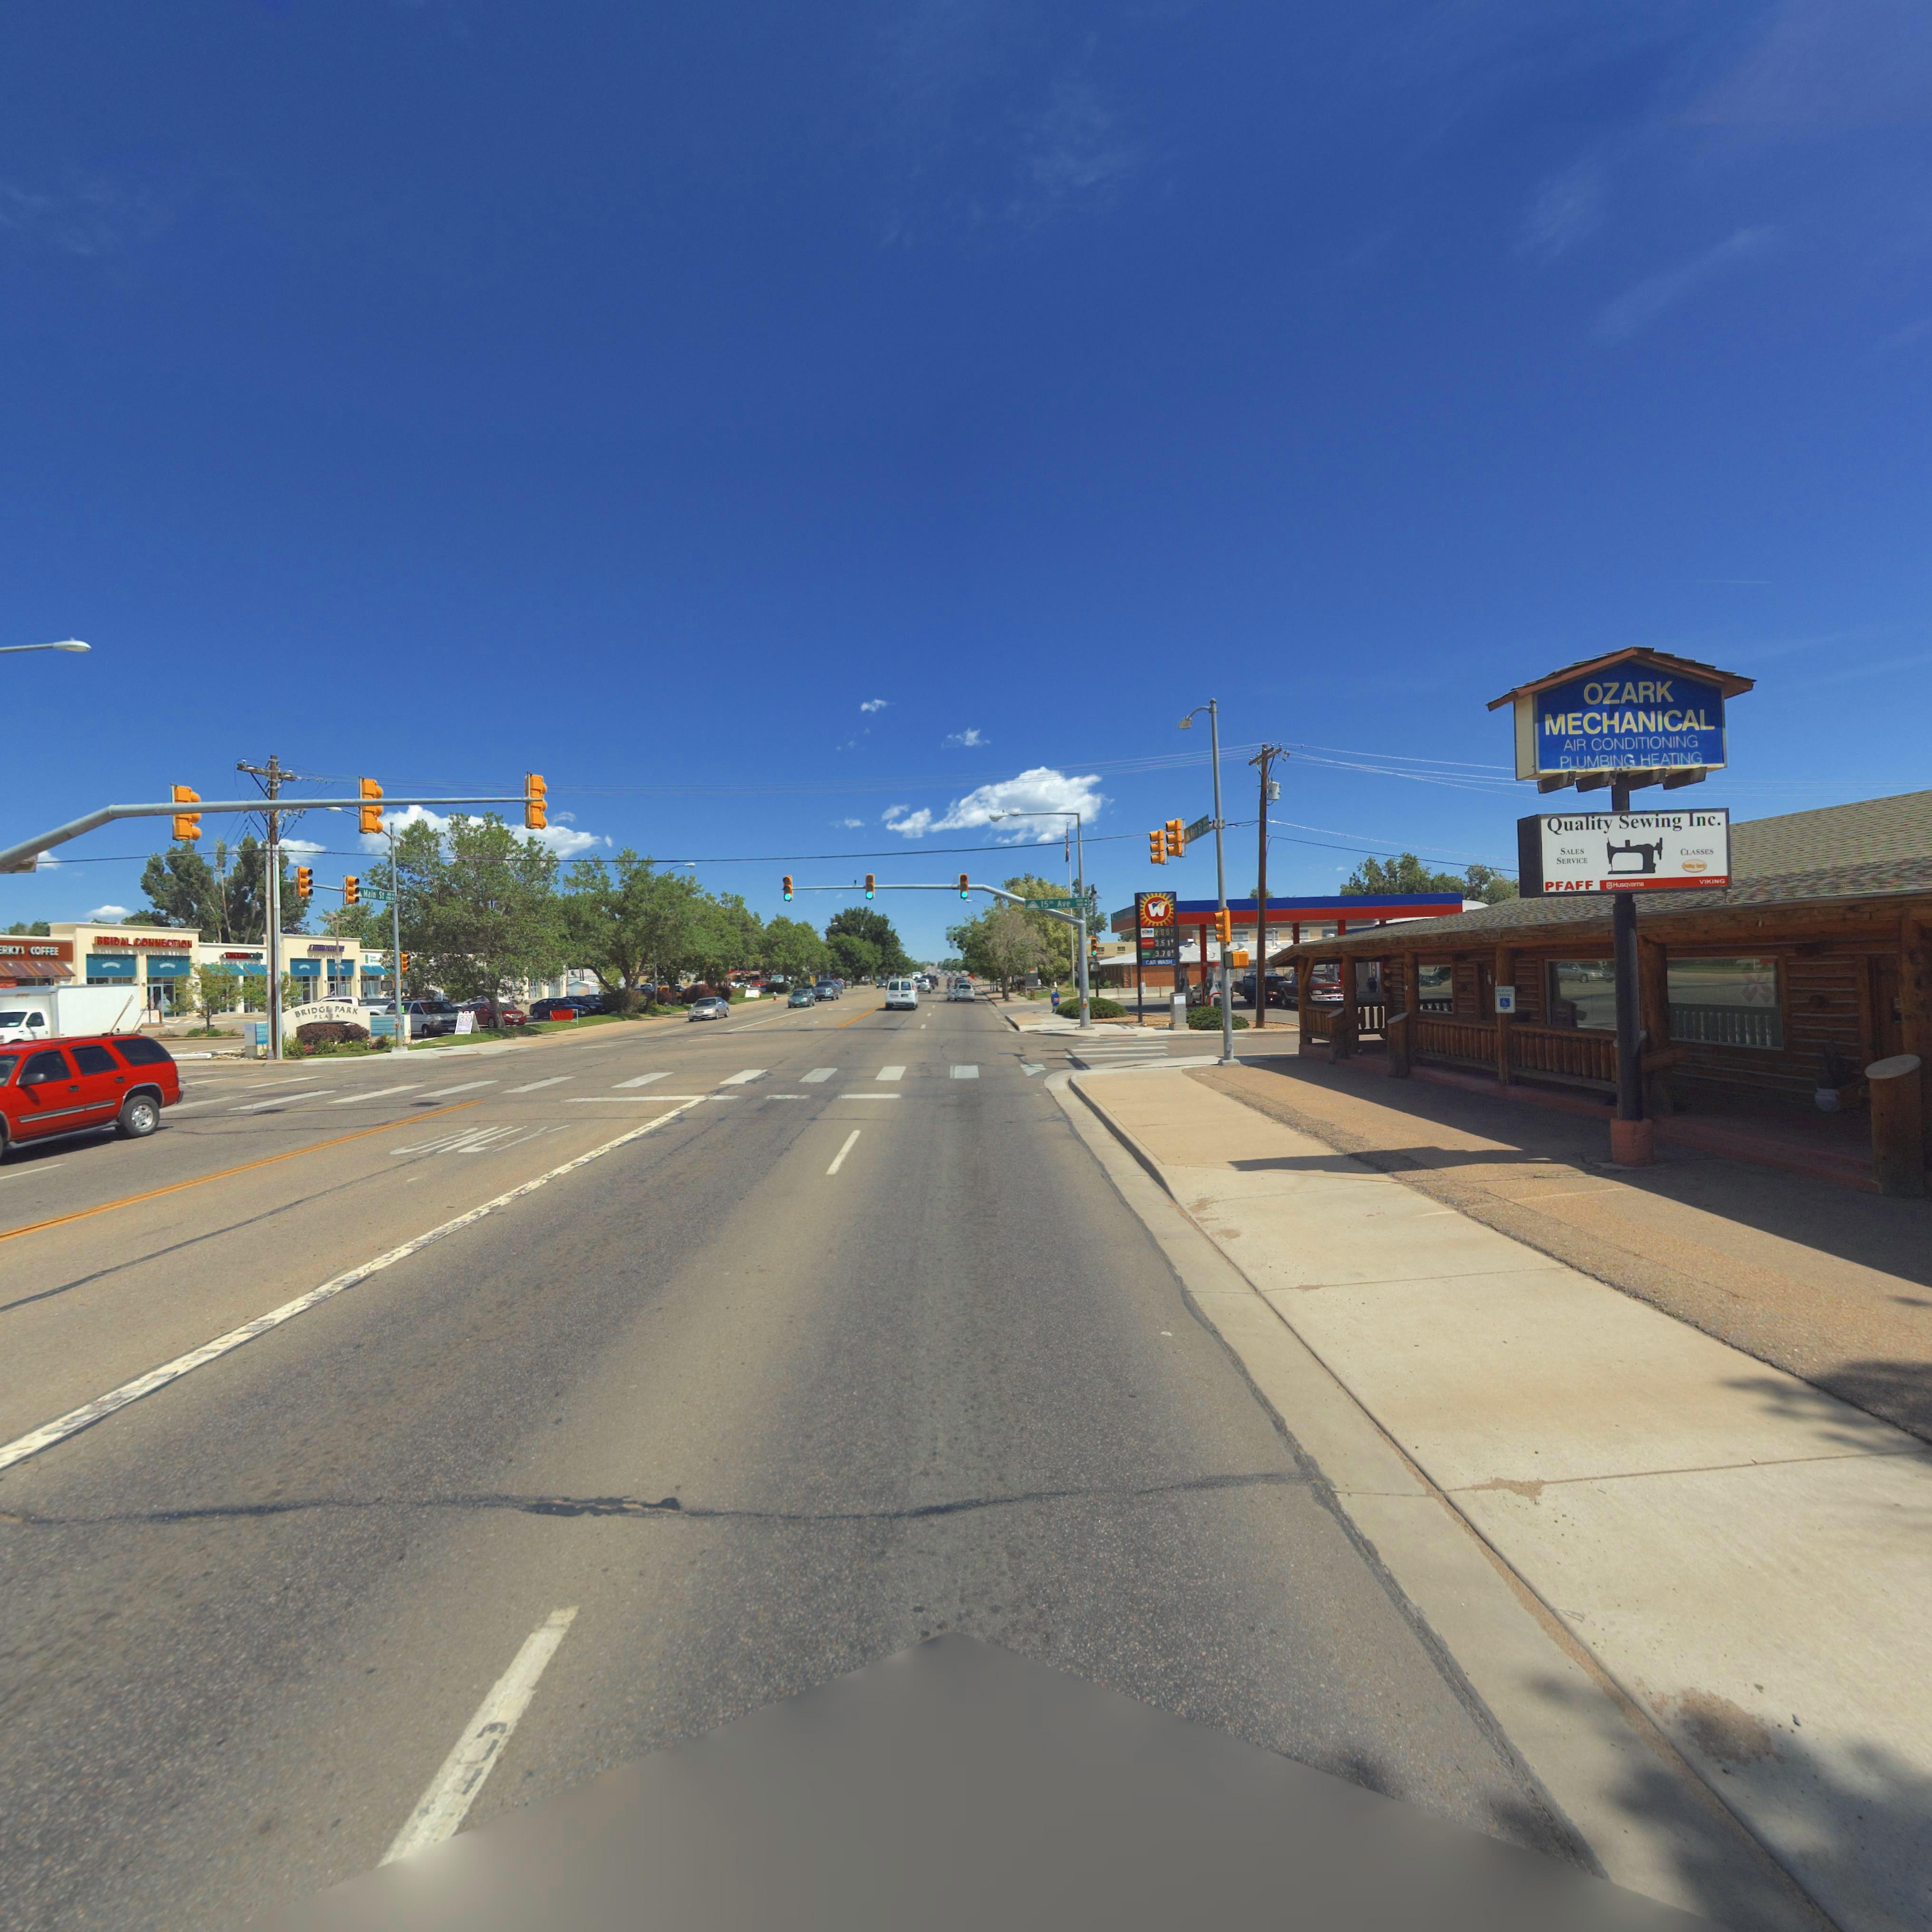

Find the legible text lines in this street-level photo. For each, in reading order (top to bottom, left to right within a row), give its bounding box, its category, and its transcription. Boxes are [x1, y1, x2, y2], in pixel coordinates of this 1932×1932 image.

[1583, 679, 1676, 705] BusinessName: OZARK
[1544, 707, 1717, 736] BusinessName: MECHANICAL
[1189, 821, 1203, 839] StreetName: ***n S*
[1546, 811, 1716, 836] BusinessName: Quality Sweing Inc
[363, 889, 385, 899] StreetName: *ain St
[1040, 900, 1071, 908] StreetName: 15** Ave
[1075, 898, 1083, 902] StreetNumberRange: 1*00
[1076, 903, 1088, 906] StreetNumberRange: *00->
[95, 936, 193, 948] BusinessName: BRIDAL CONNECTION
[2, 945, 59, 956] BusinessName: R*YS COFFEE